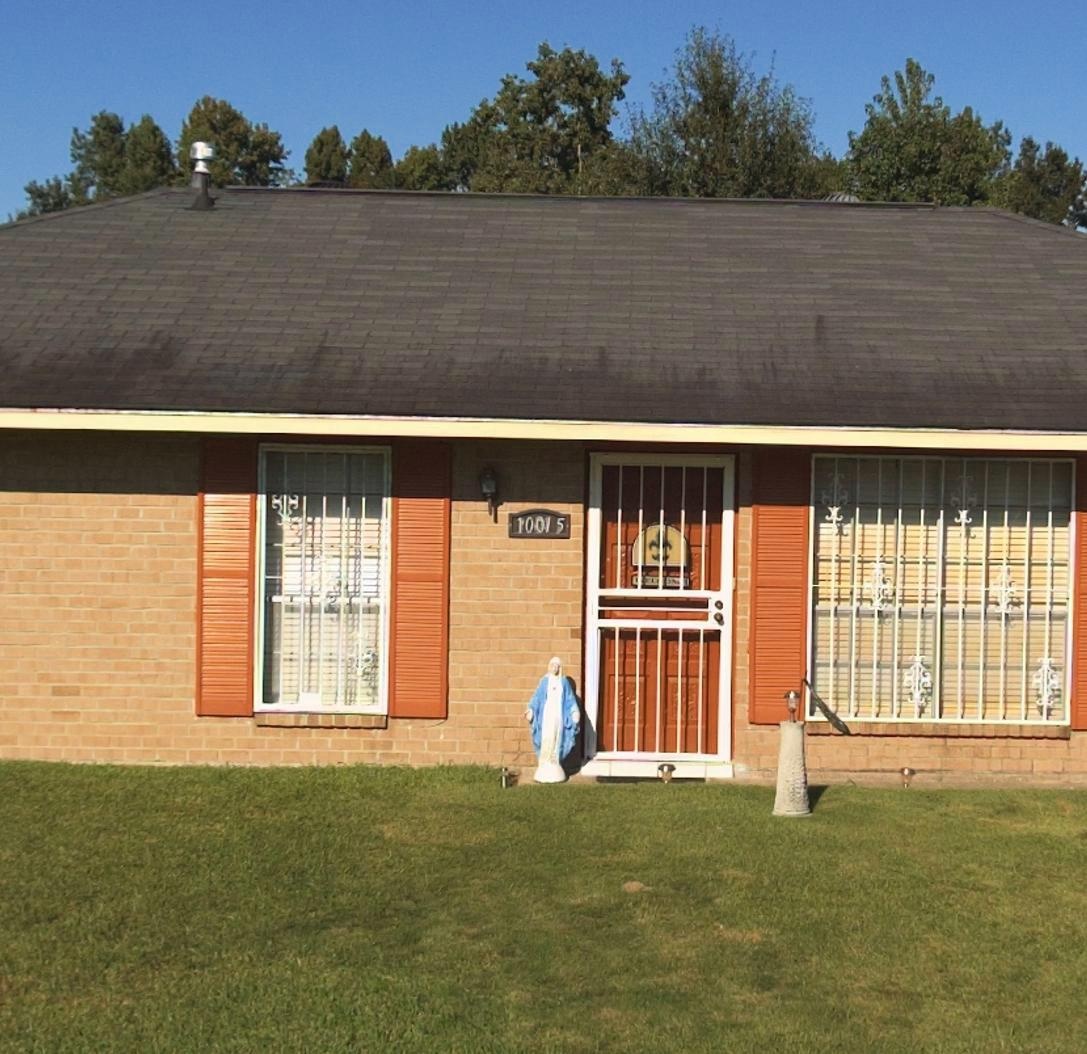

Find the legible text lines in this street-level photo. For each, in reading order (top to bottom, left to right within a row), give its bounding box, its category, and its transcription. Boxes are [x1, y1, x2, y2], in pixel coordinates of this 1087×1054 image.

[514, 517, 566, 534] StreetNumber: 10015